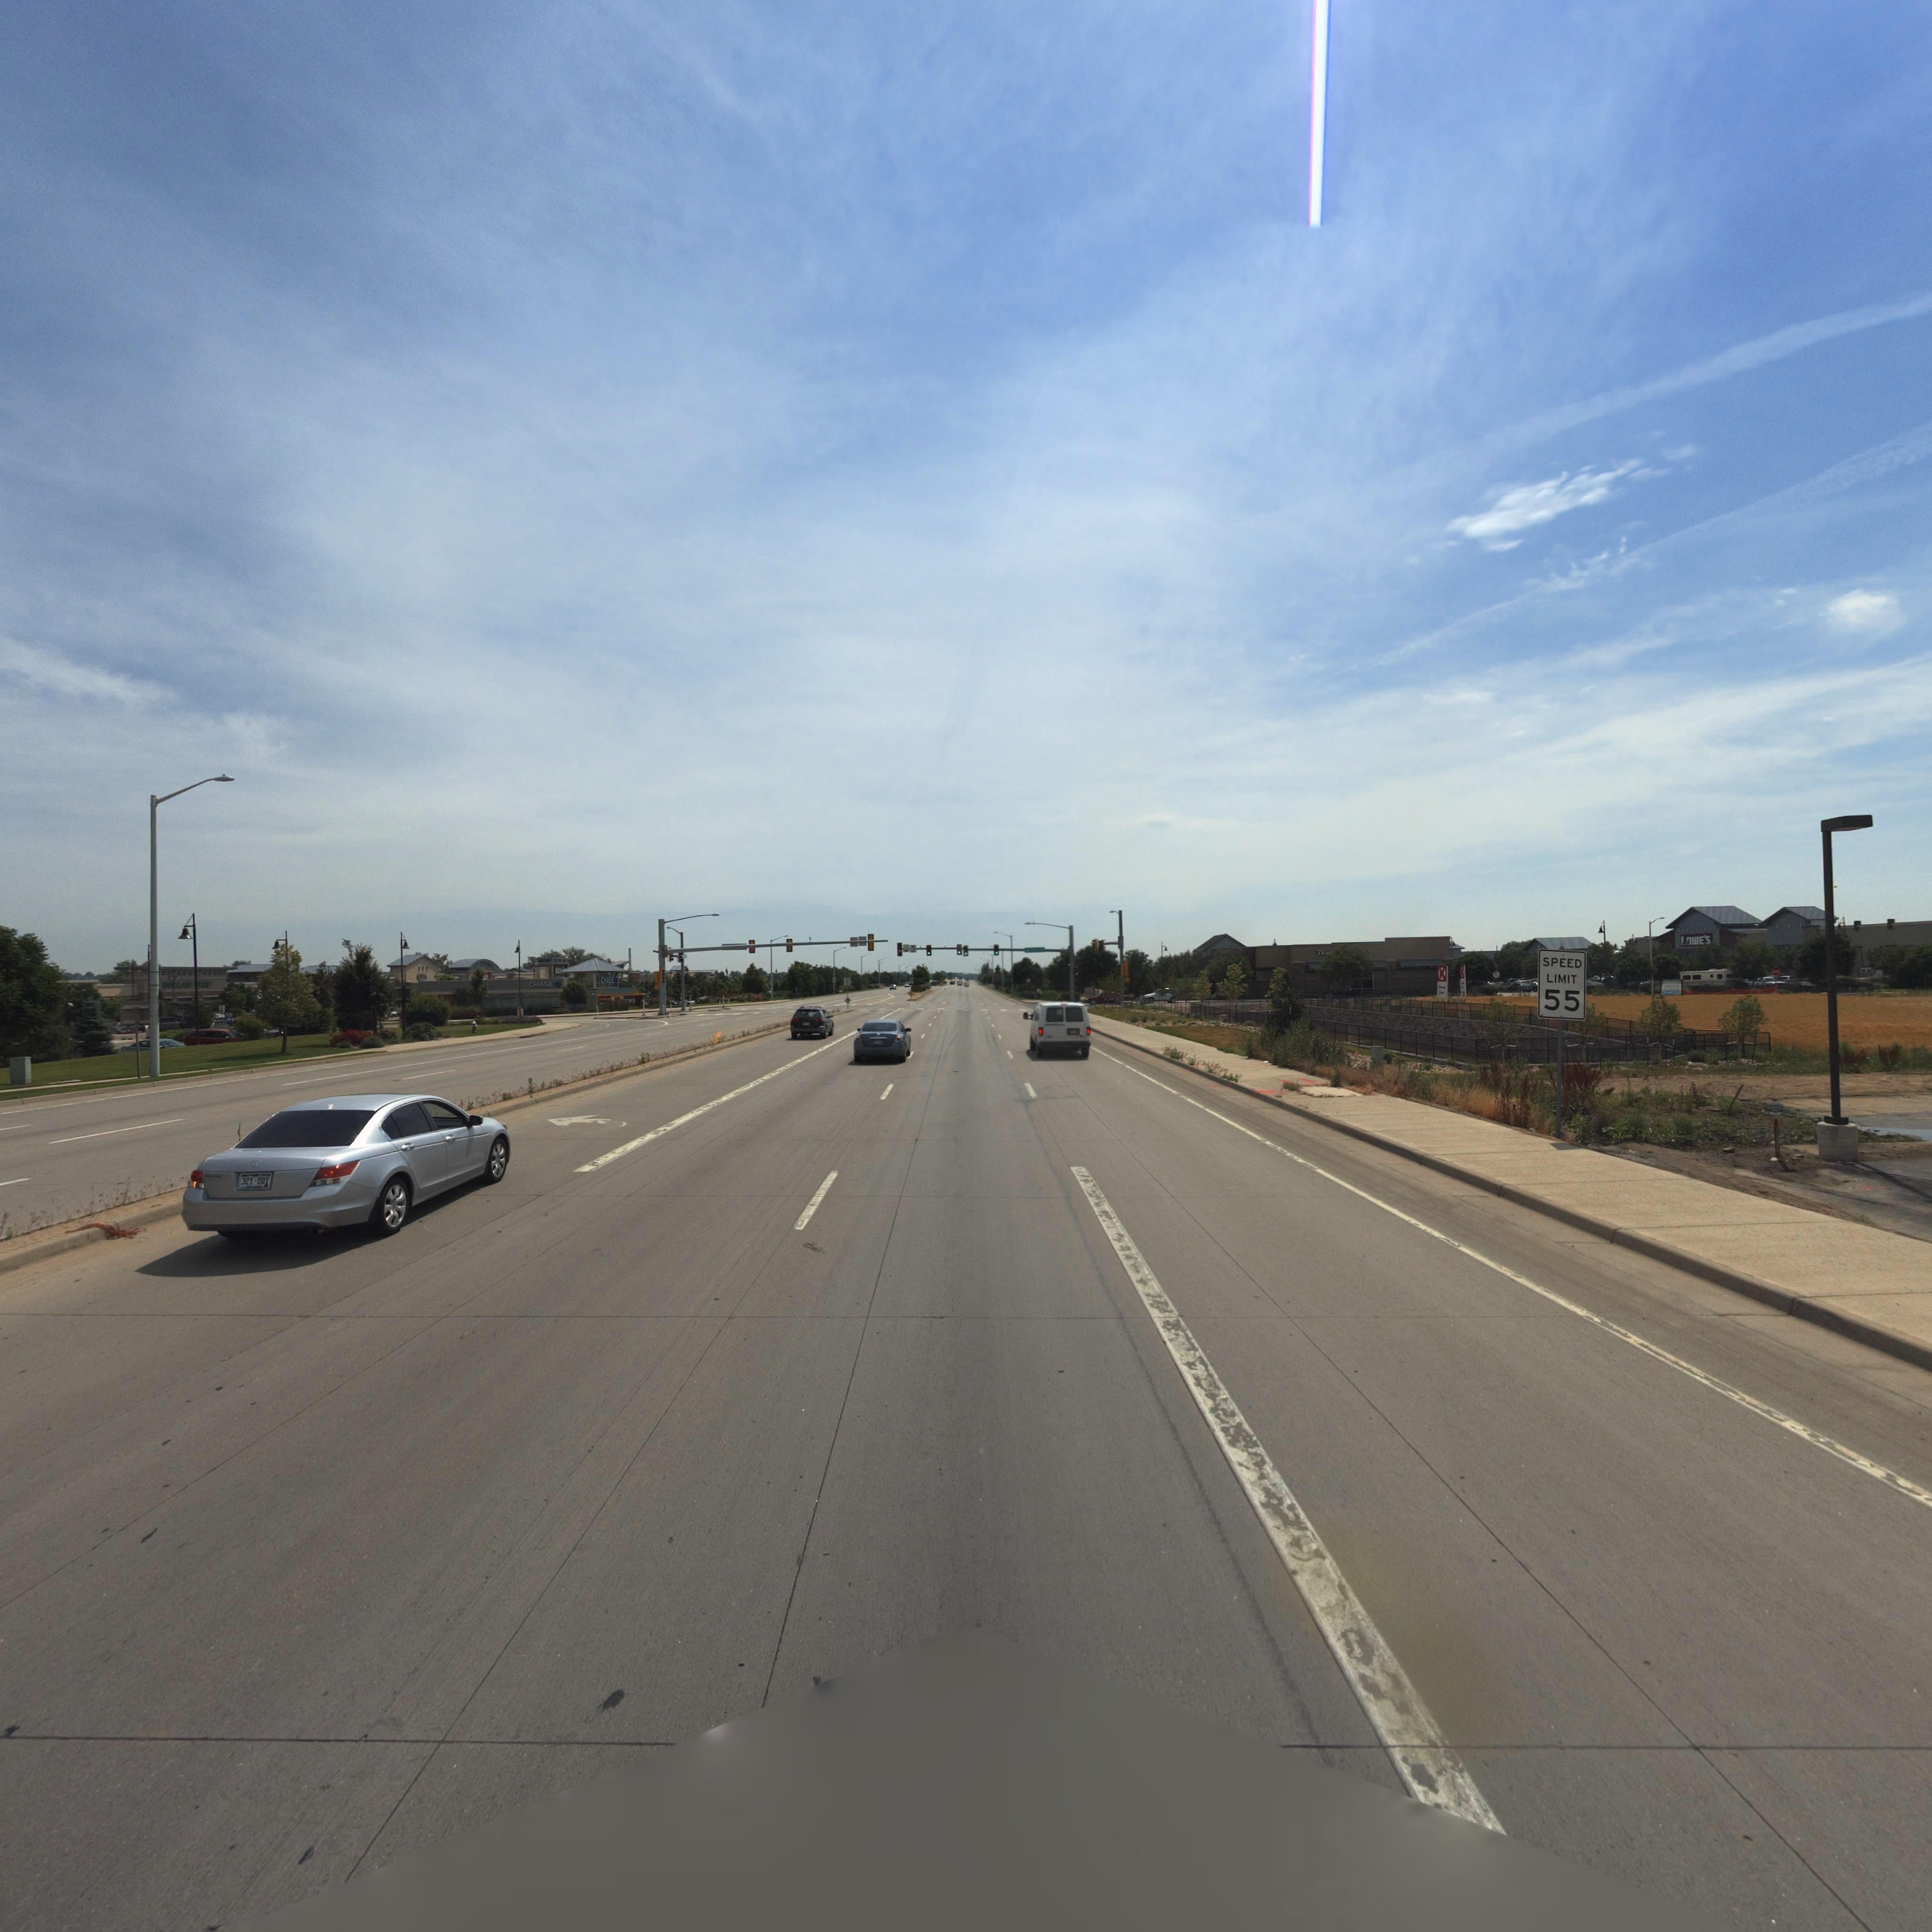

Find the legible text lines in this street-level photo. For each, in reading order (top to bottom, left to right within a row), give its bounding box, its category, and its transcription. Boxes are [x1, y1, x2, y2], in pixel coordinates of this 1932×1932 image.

[1681, 934, 1711, 946] BusinessName: L*wE'S
[1316, 949, 1371, 956] BusinessName: Pane** *****
[601, 976, 614, 984] BusinessName: CHASE
[162, 980, 212, 989] BusinessName: DO*LAR *REE
[528, 981, 553, 987] BusinessName: CHASE